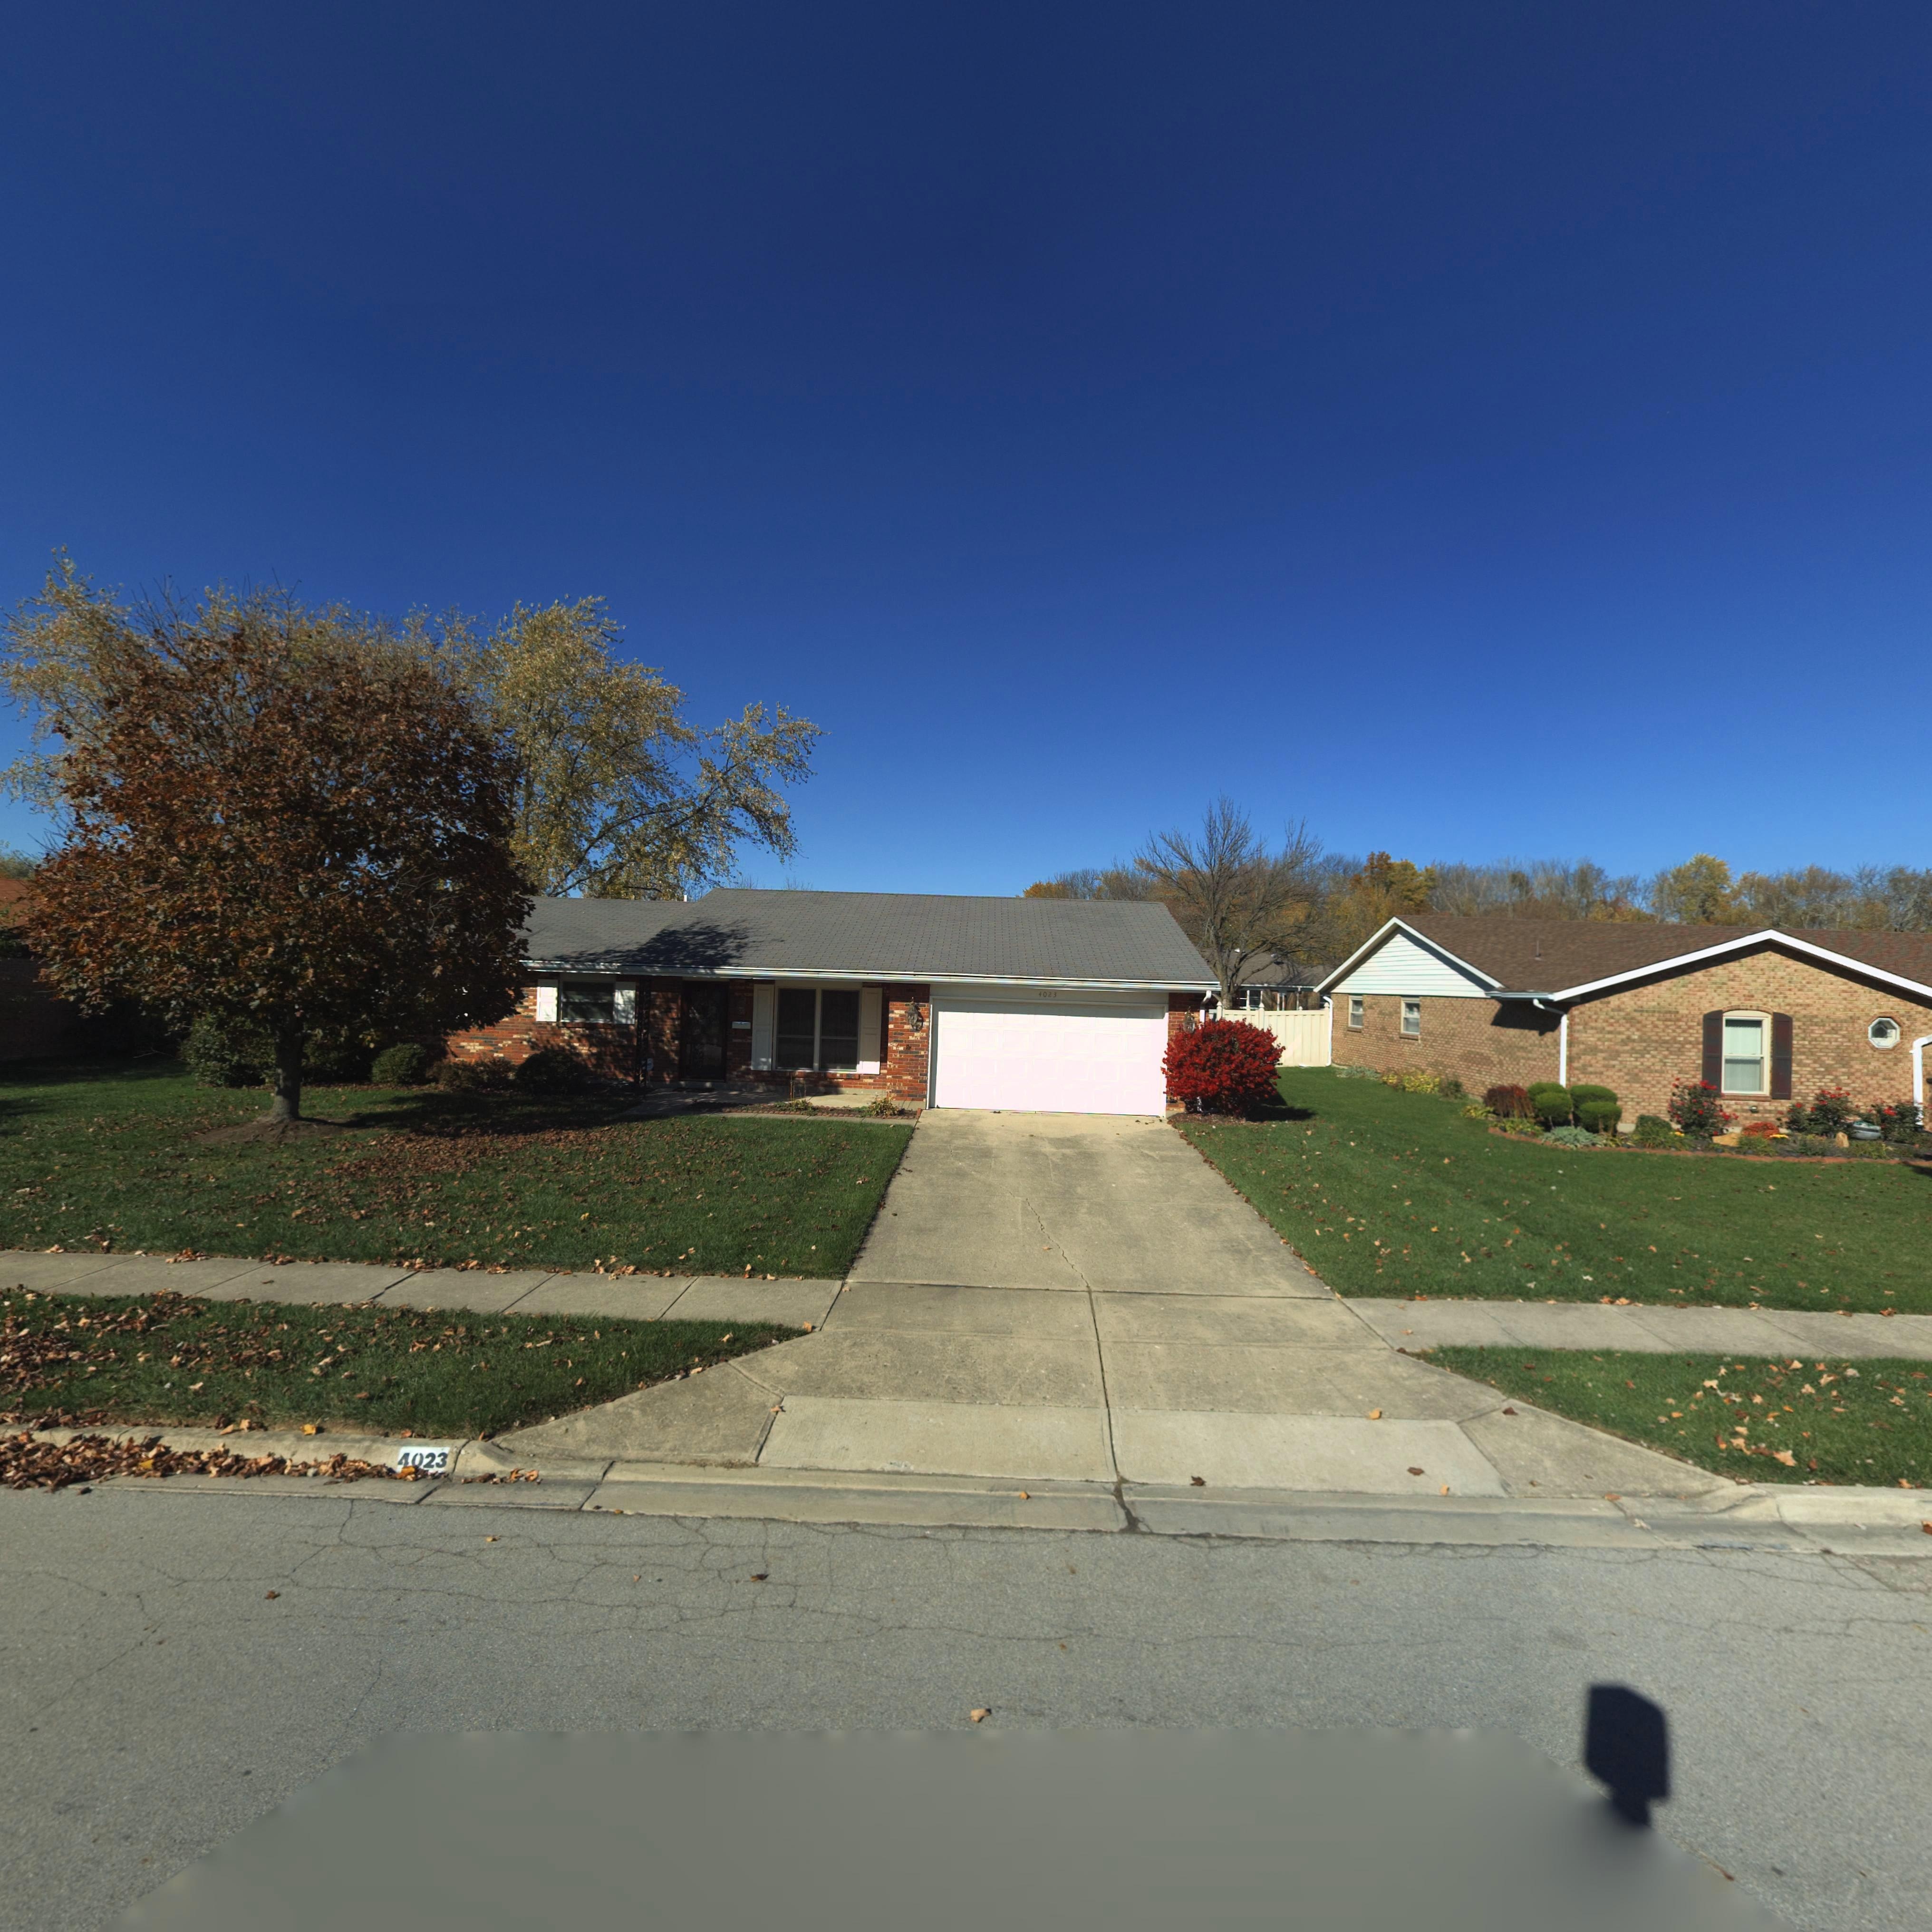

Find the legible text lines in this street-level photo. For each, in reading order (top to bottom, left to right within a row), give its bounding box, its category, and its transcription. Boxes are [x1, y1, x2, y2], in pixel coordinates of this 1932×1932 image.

[1038, 991, 1057, 998] StreetNumber: 4023
[396, 1452, 450, 1469] StreetNumber: 4023